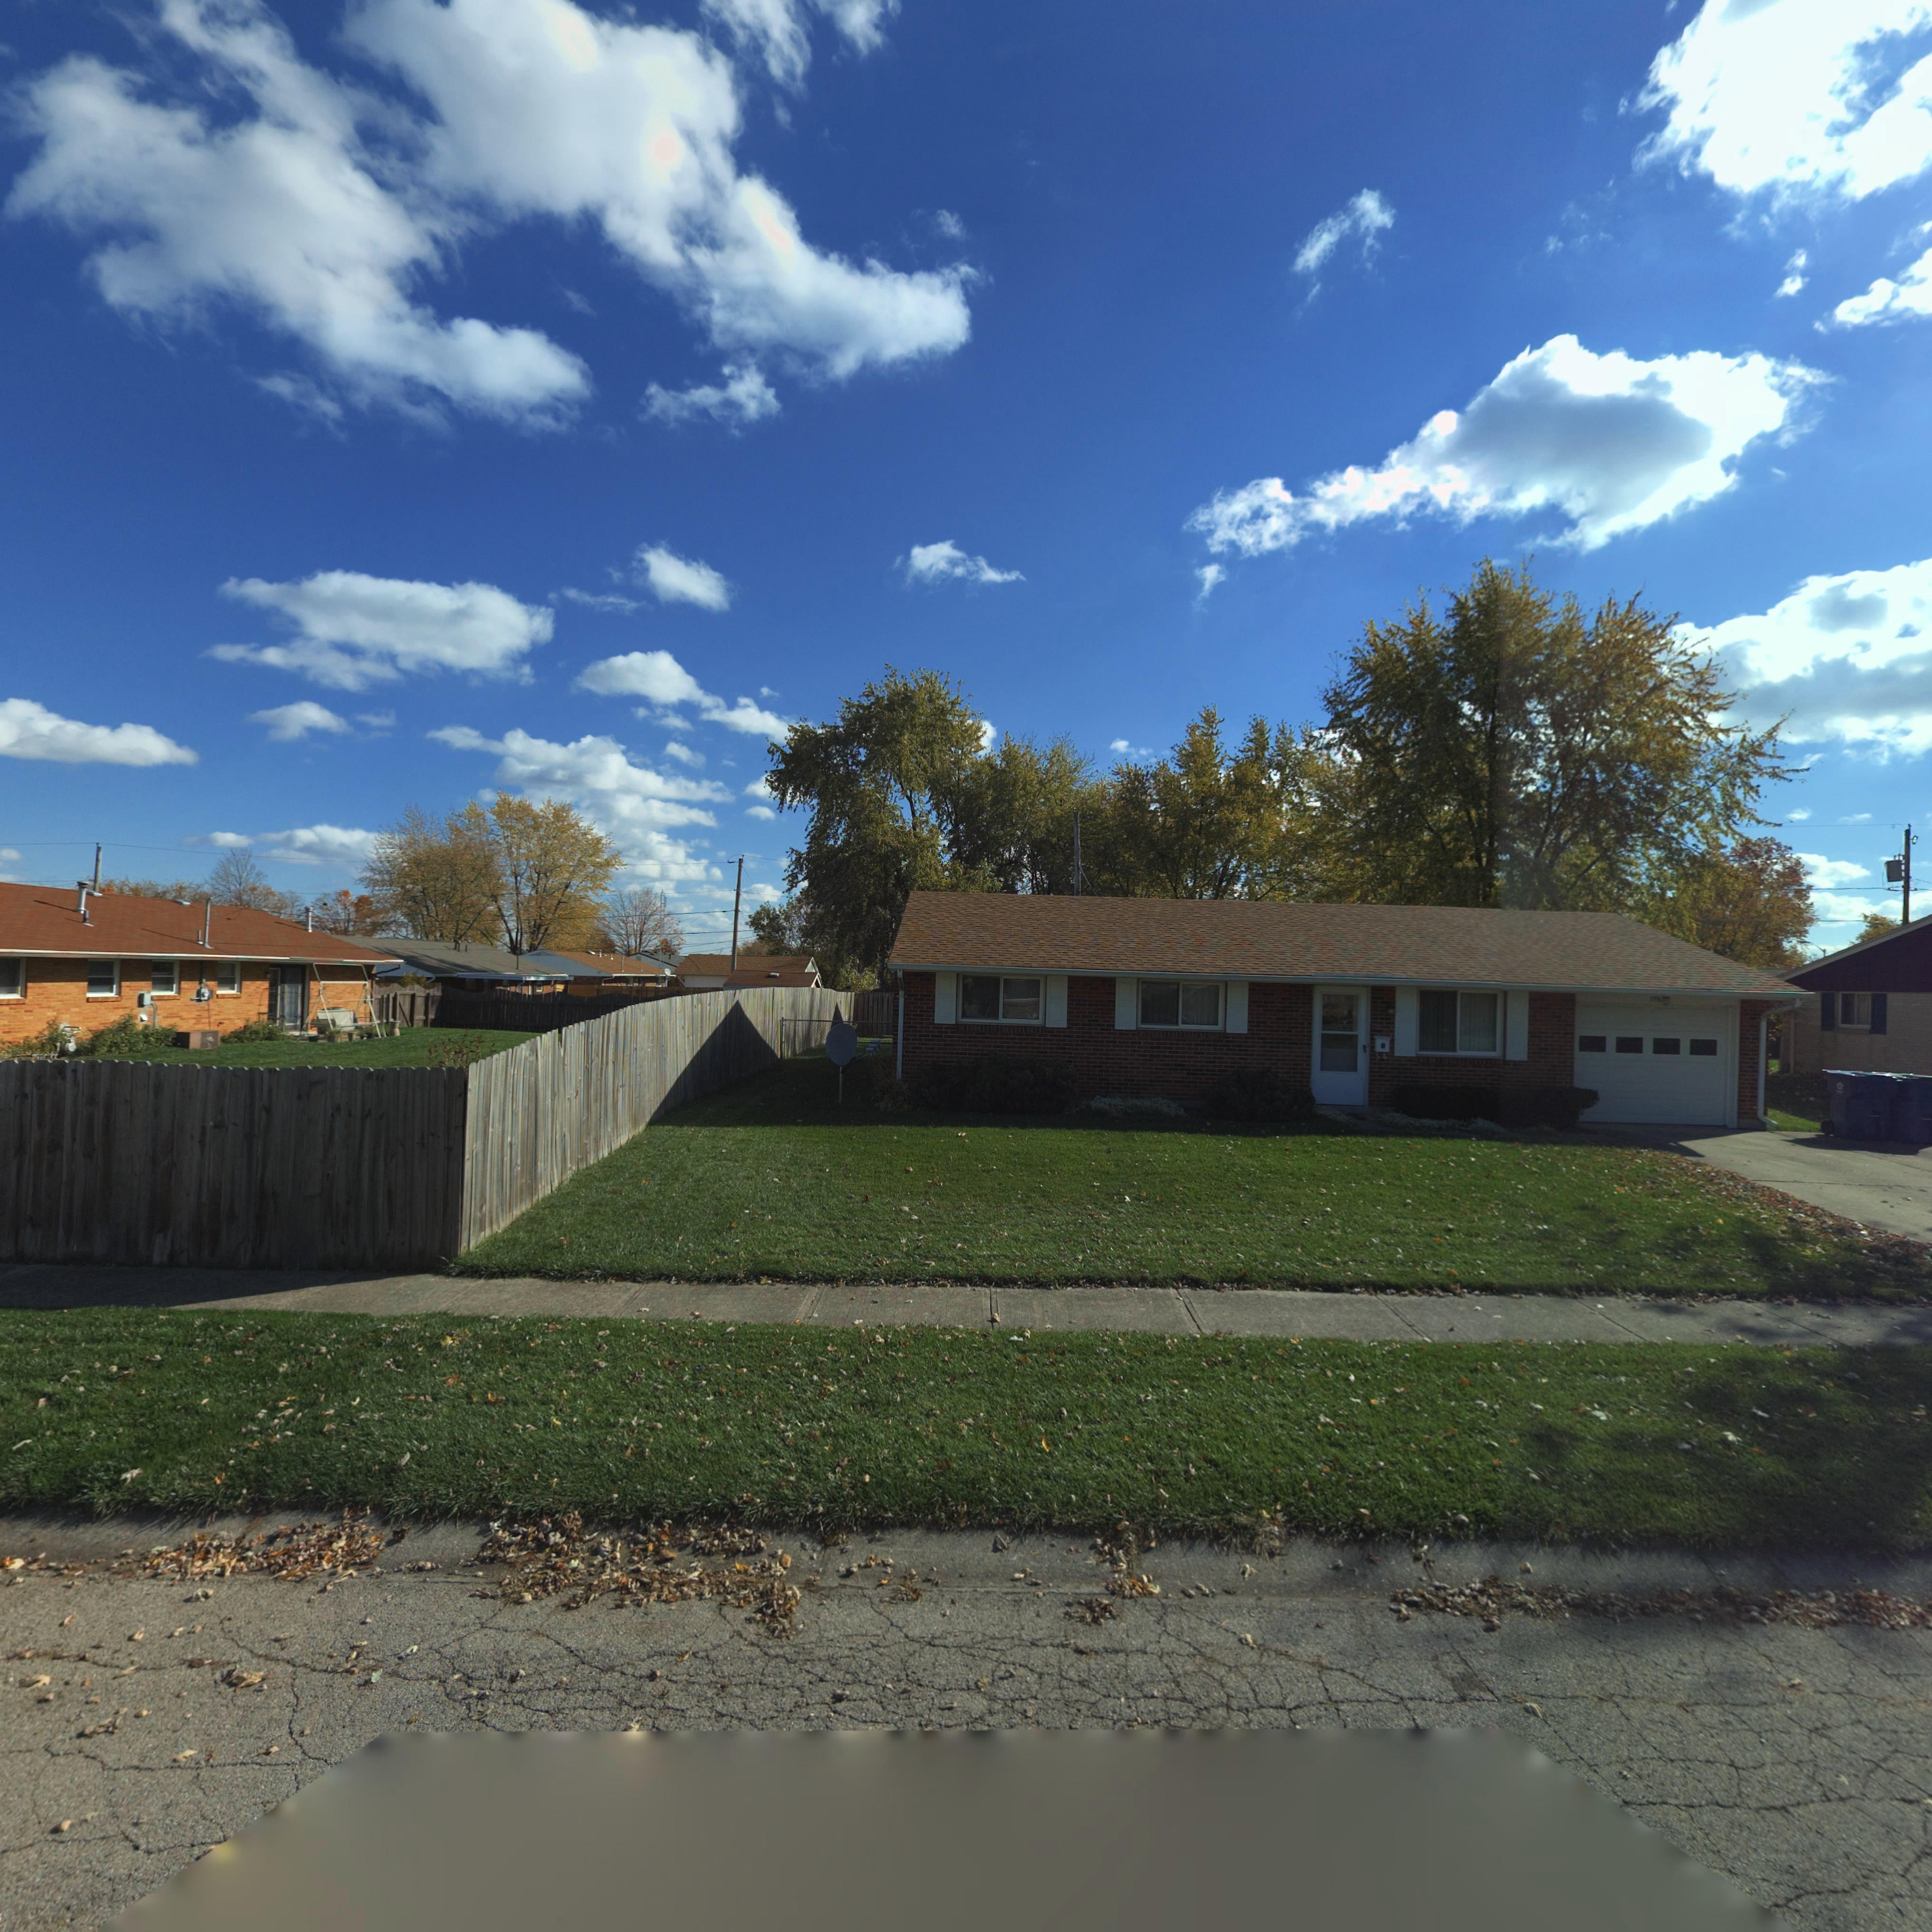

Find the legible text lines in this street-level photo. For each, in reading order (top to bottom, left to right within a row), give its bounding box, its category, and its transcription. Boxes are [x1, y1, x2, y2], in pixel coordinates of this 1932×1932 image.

[1648, 995, 1662, 1004] StreetNumber: 776